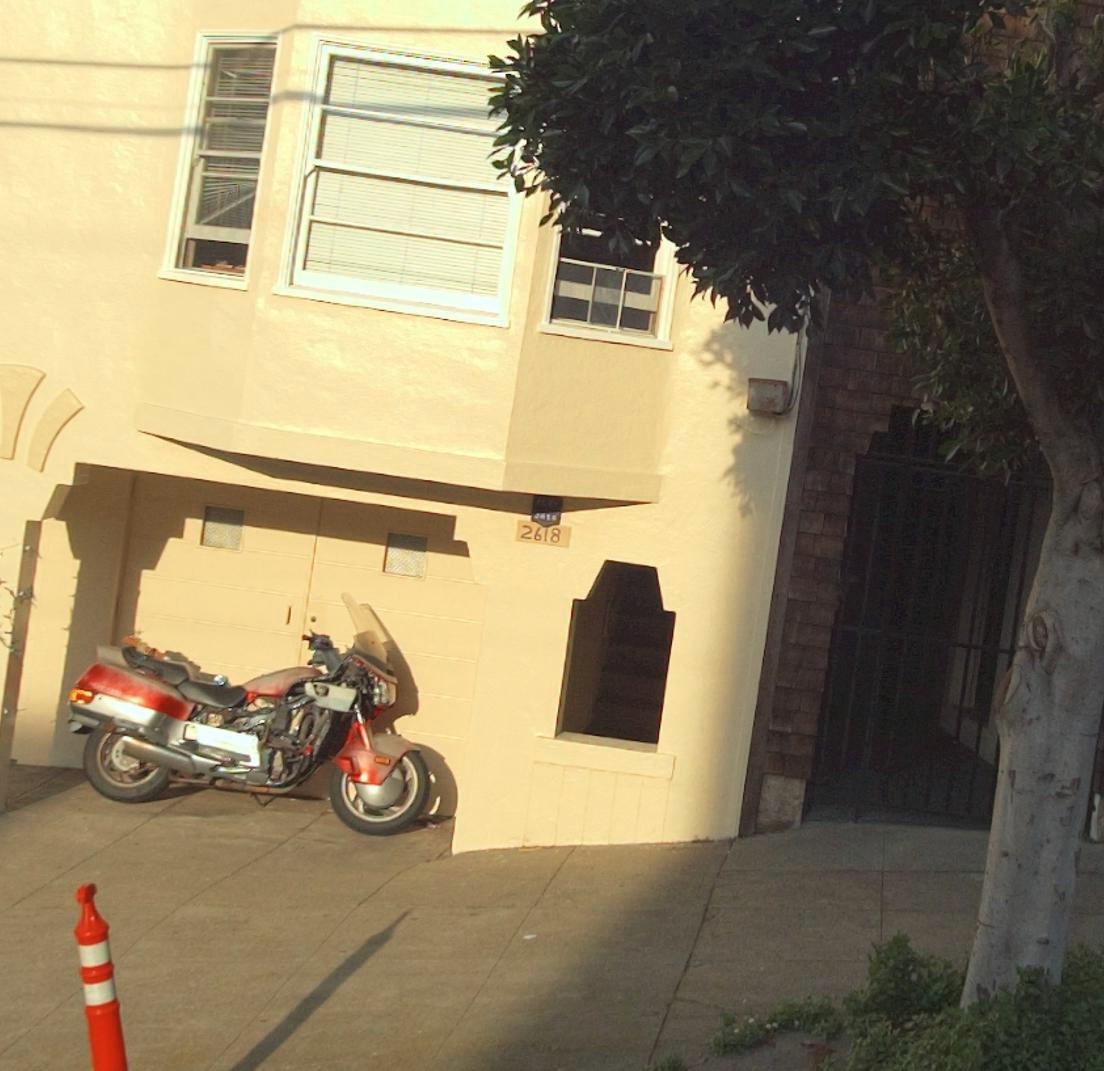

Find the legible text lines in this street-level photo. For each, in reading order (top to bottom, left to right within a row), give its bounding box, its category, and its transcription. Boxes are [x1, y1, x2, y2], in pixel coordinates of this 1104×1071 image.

[518, 522, 564, 545] StreetNumber: 2618